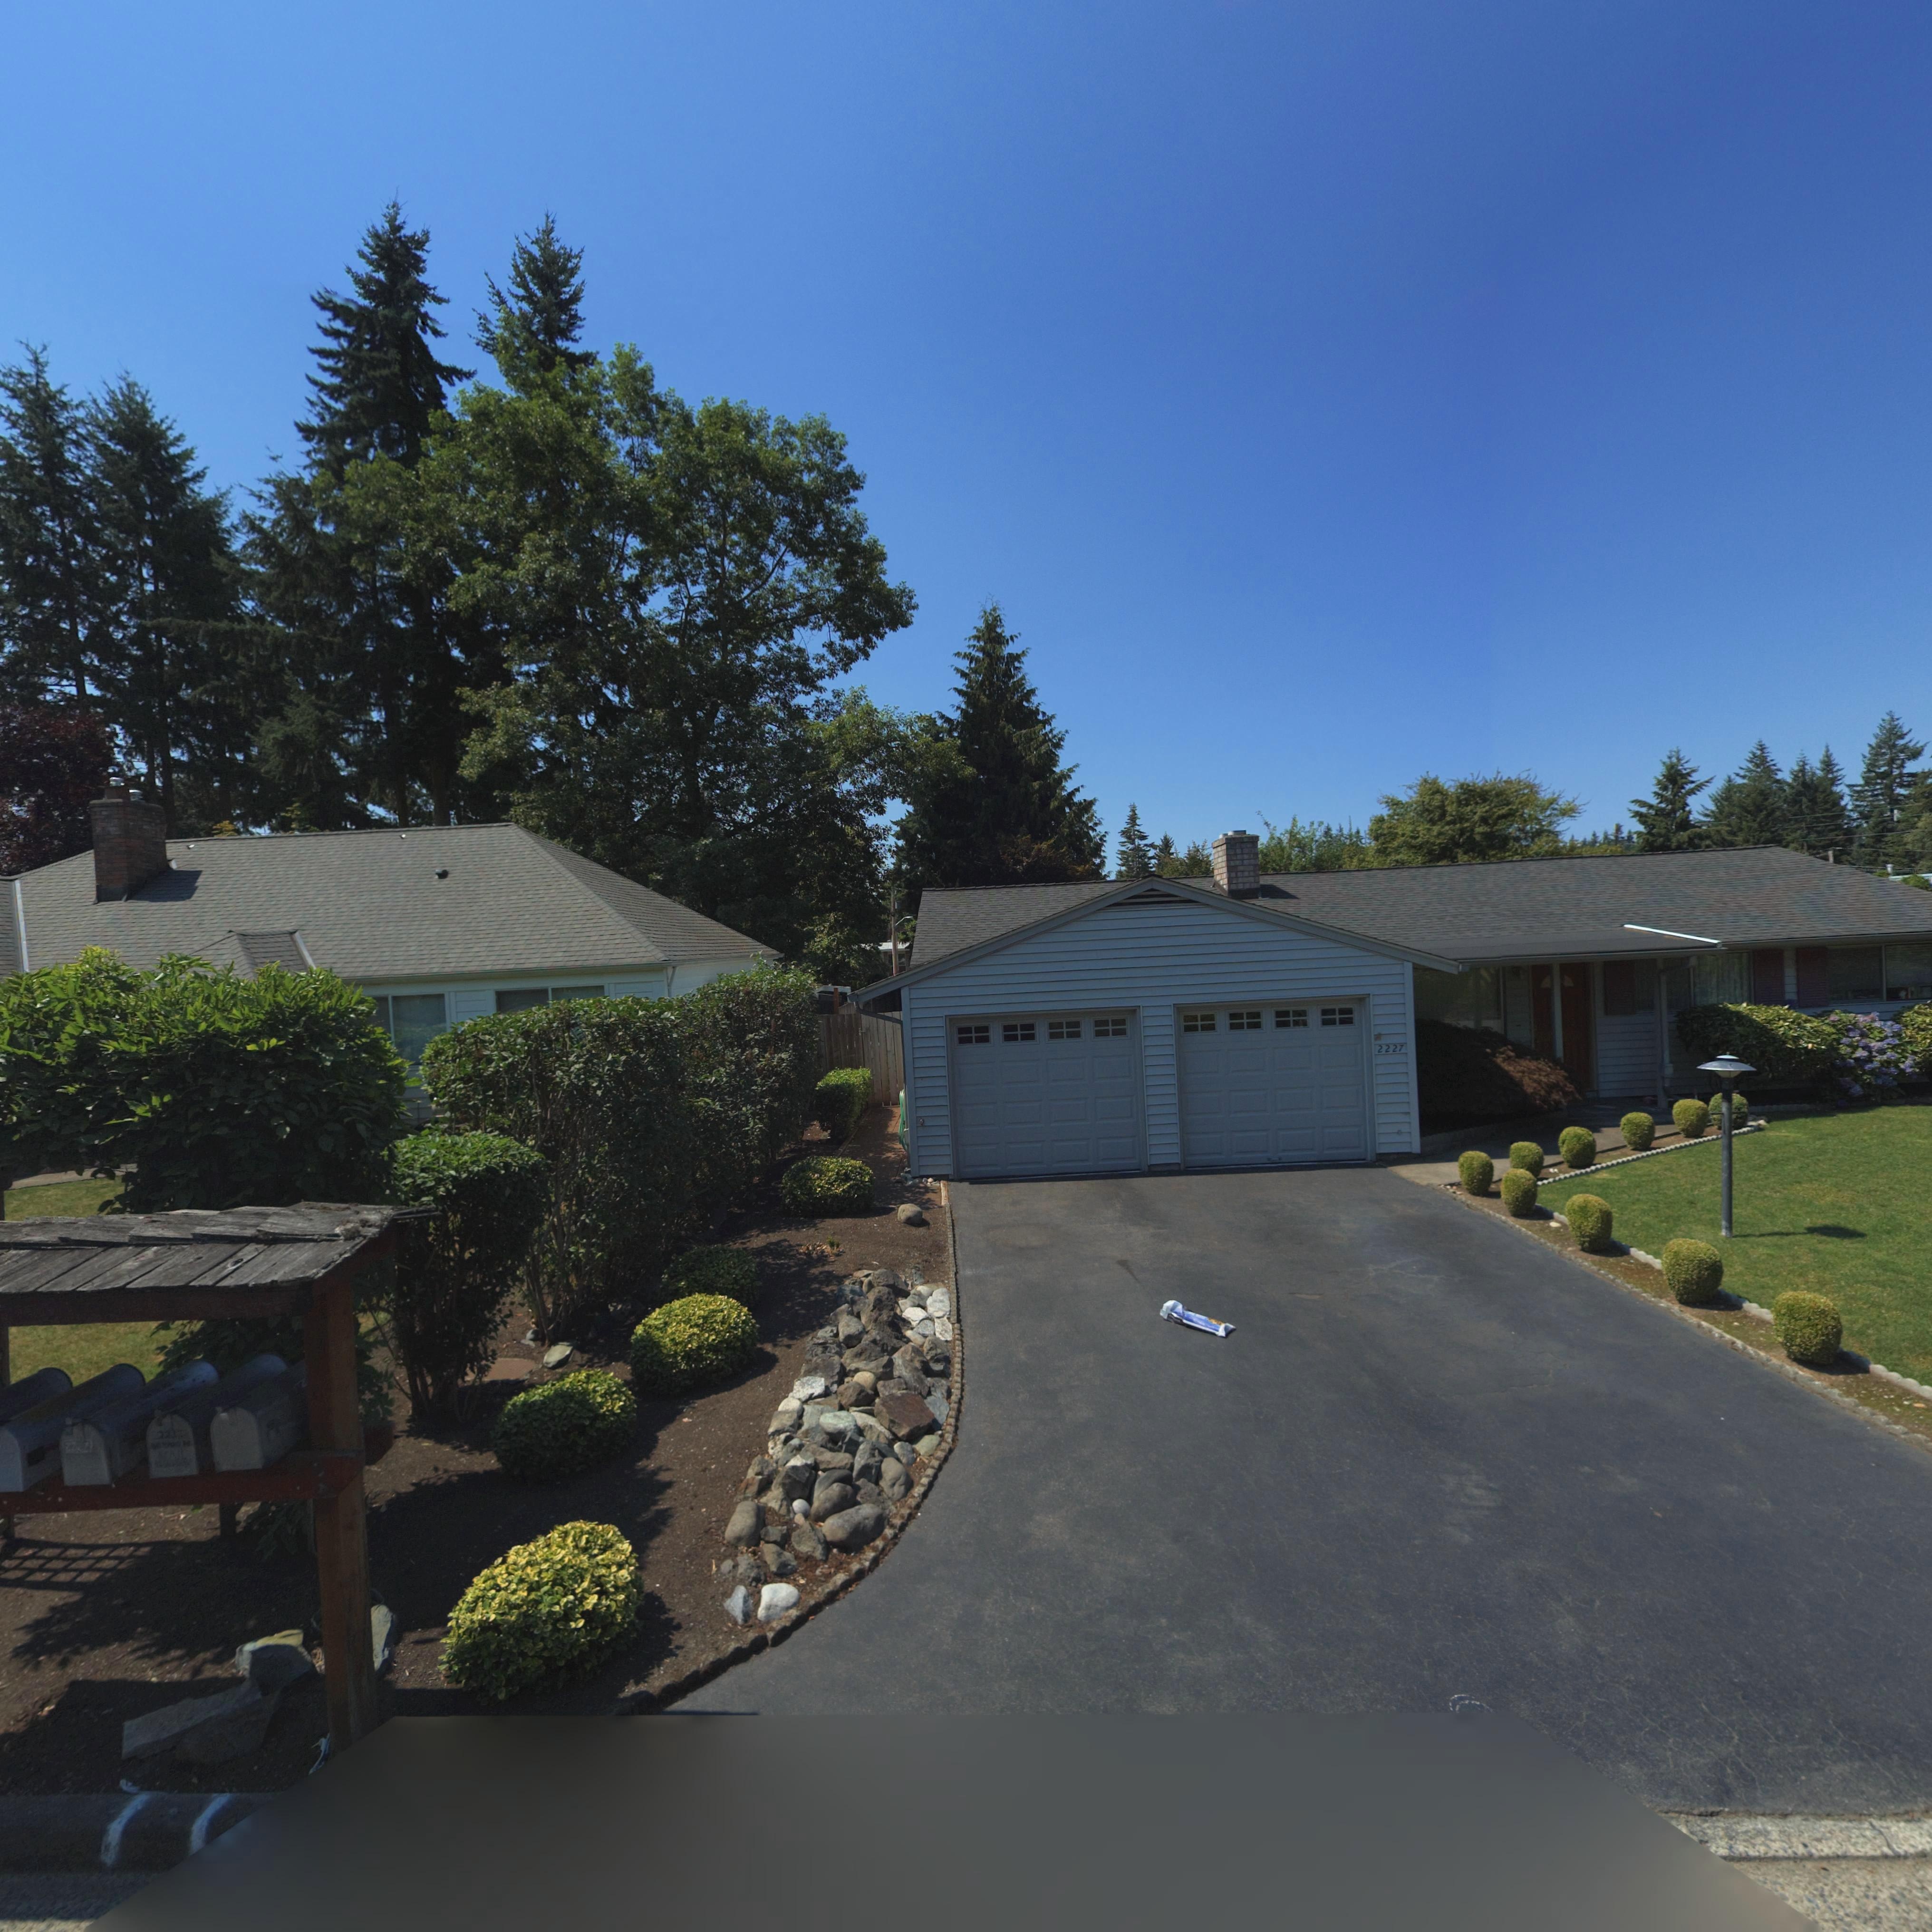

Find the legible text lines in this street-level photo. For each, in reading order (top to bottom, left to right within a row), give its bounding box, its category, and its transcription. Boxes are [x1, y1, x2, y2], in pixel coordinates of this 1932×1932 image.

[1375, 1043, 1407, 1053] StreetNumber: 2227